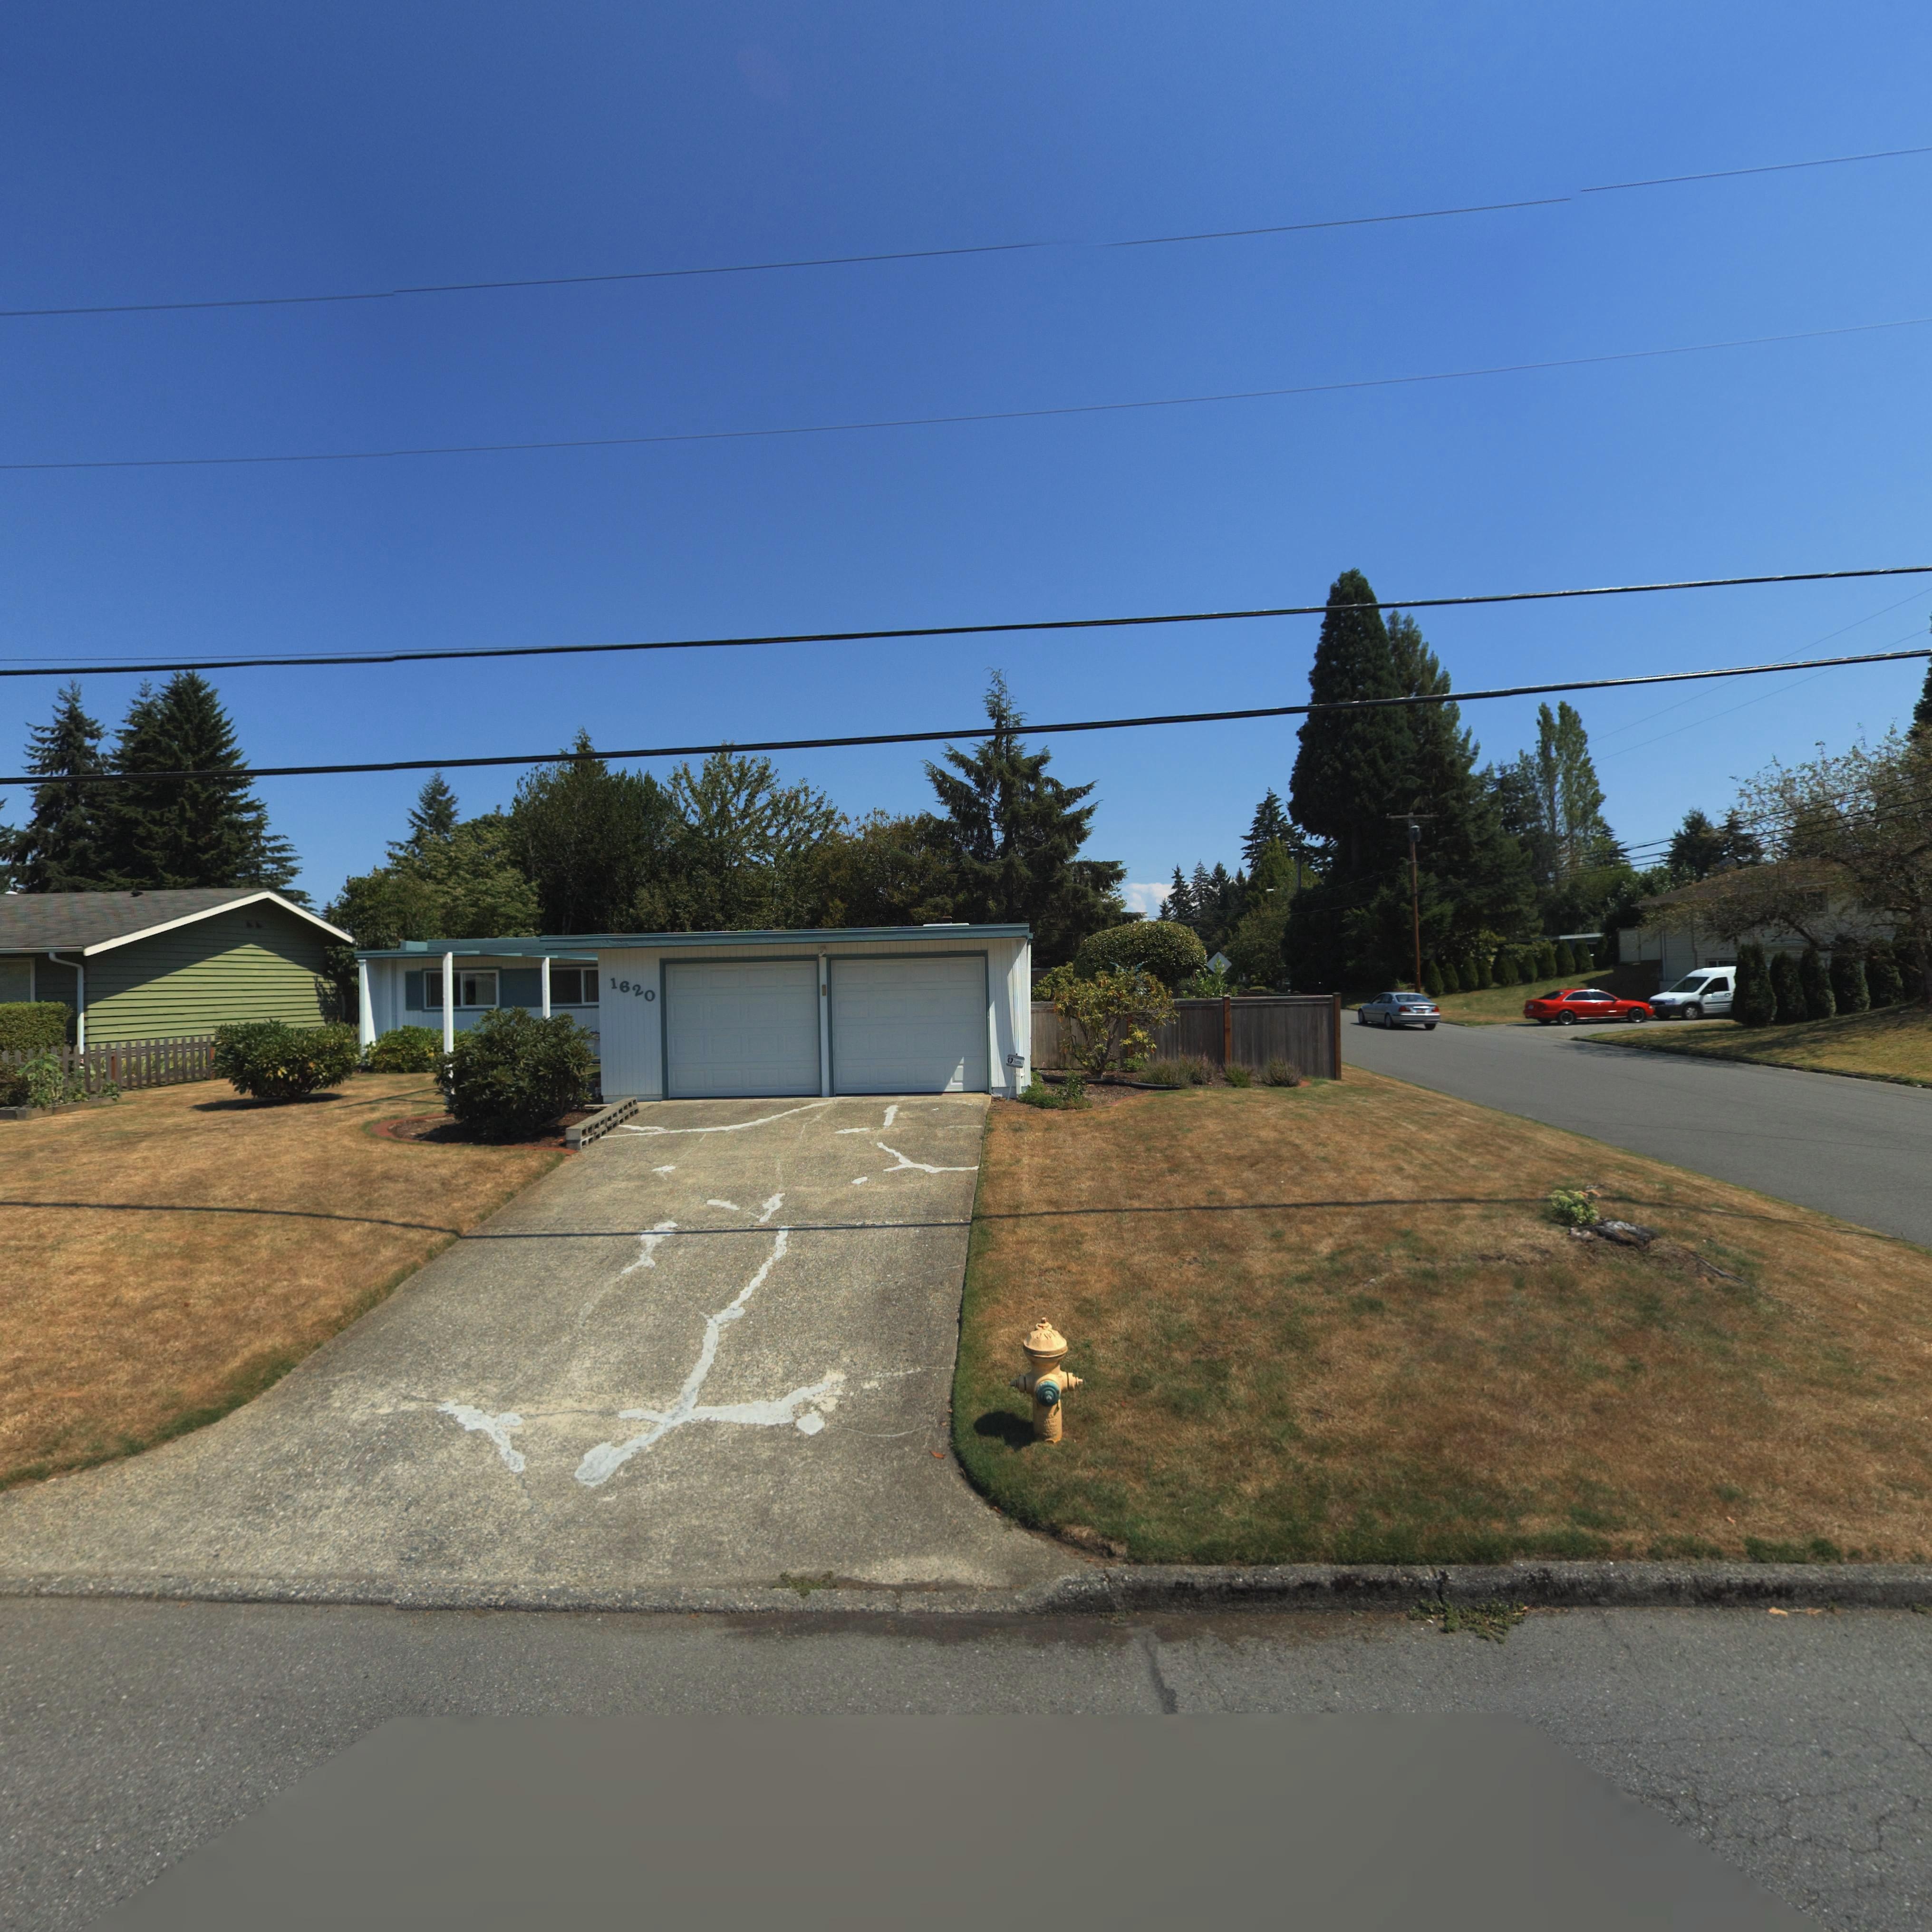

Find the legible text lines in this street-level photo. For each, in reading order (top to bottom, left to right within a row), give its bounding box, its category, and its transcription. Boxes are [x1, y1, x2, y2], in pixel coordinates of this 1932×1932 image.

[609, 976, 656, 1003] StreetNumber: 1620